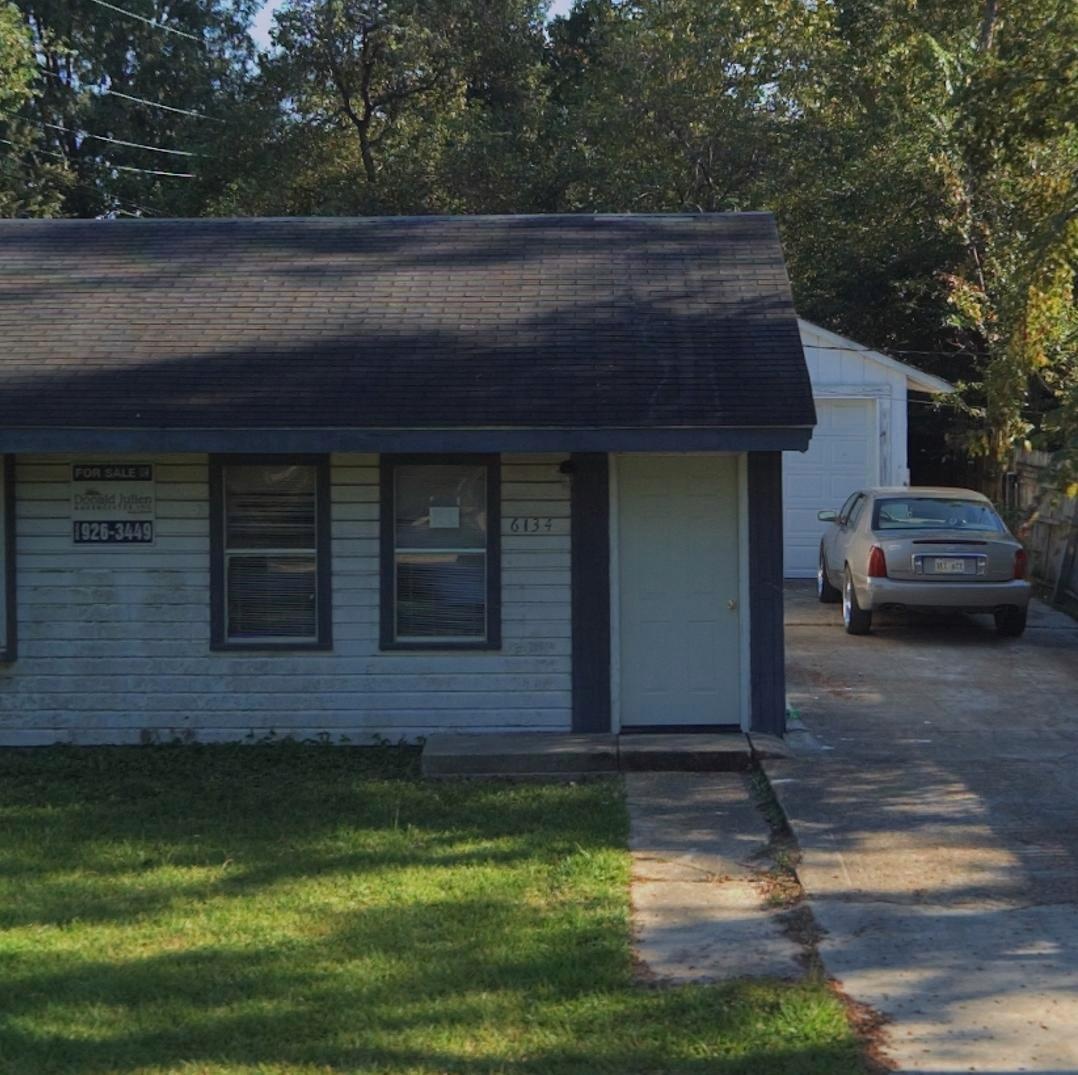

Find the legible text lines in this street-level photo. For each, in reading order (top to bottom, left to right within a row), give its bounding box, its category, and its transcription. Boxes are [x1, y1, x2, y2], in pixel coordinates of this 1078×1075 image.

[75, 468, 136, 478] None: FOR SALE
[74, 493, 153, 505] None: Donald Jullen
[81, 522, 151, 541] None: 926-3449
[509, 517, 553, 533] StreetNumber: 6134